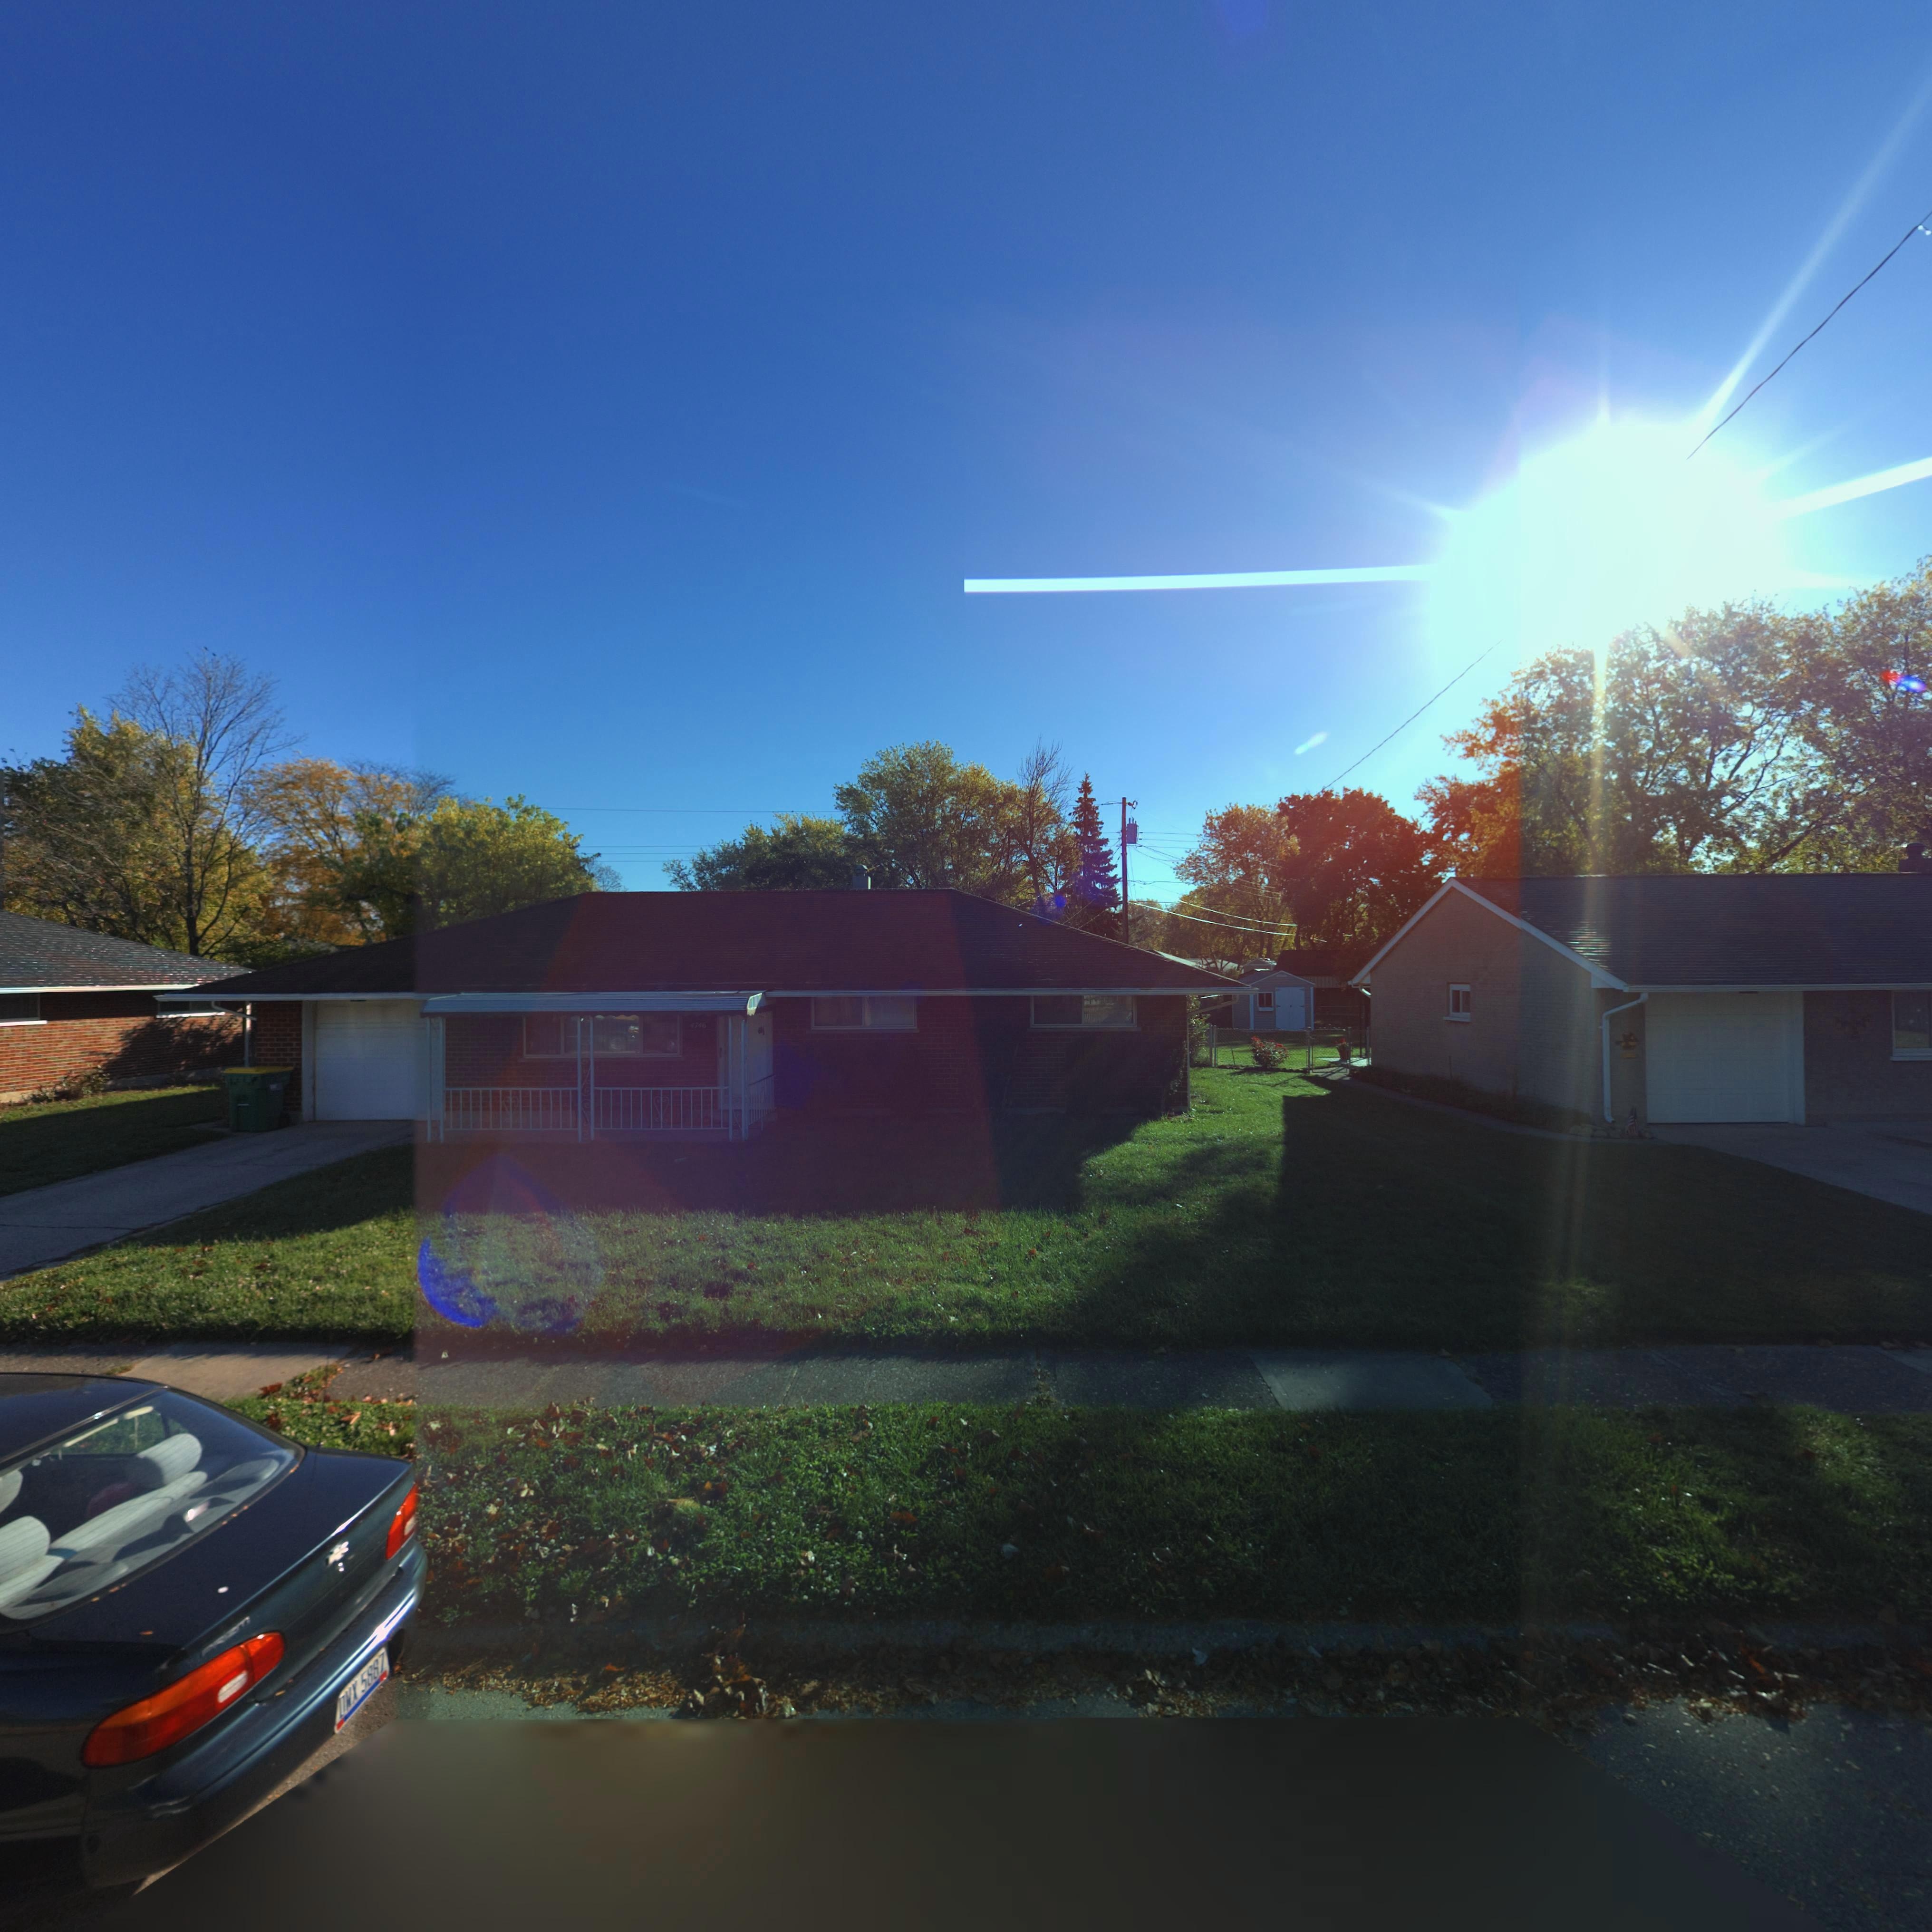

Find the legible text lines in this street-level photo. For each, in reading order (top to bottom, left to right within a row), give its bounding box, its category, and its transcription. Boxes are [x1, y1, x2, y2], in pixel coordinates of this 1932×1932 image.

[689, 1021, 707, 1029] StreetNumber: 4746